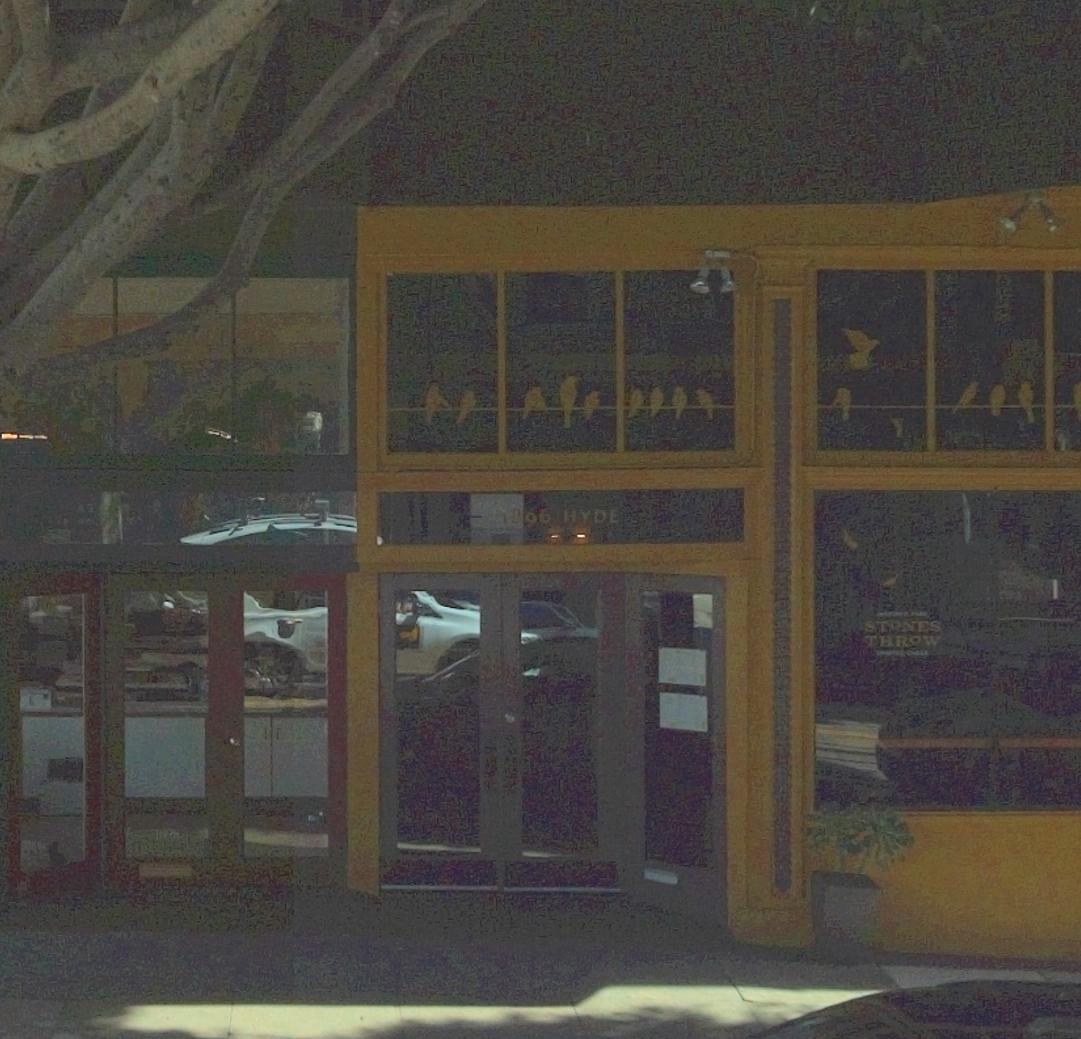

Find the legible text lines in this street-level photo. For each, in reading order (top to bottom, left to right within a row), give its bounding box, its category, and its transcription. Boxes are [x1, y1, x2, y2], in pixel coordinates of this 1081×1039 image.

[500, 505, 553, 530] StreetNumber: 1896
[563, 507, 620, 525] StreetName: HYDE
[863, 619, 944, 635] None: STONES
[864, 634, 944, 647] None: THROW